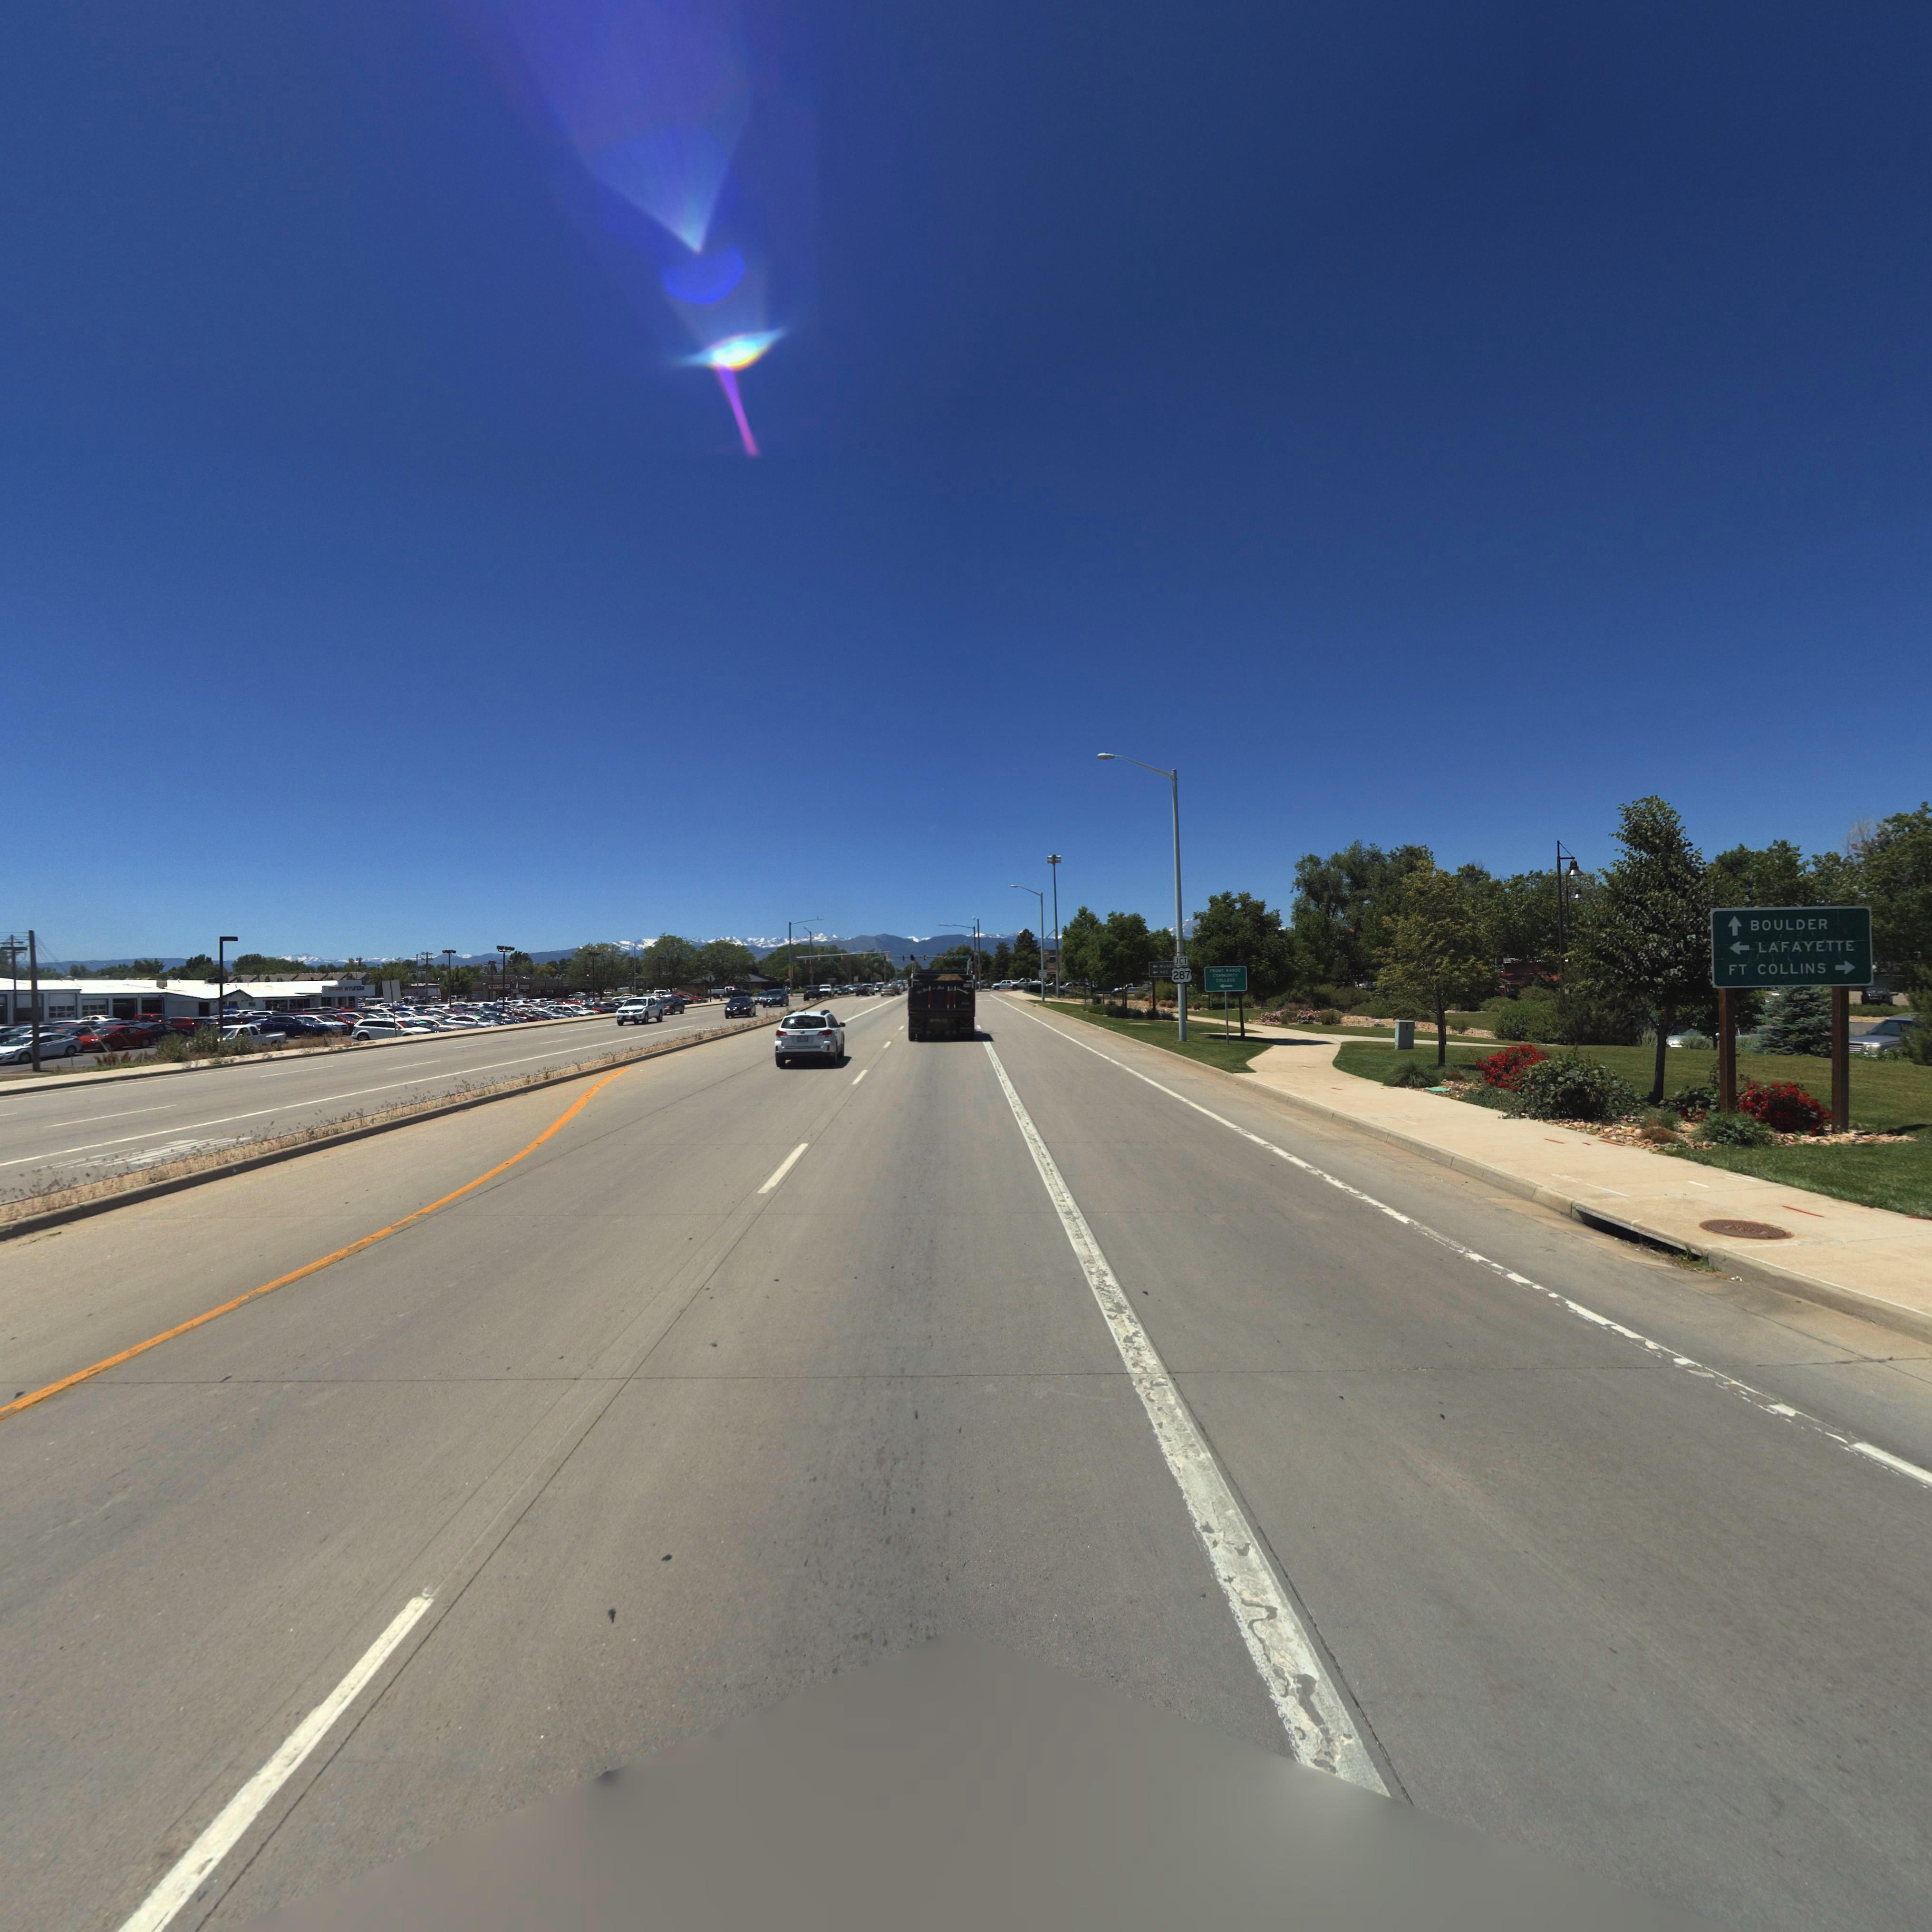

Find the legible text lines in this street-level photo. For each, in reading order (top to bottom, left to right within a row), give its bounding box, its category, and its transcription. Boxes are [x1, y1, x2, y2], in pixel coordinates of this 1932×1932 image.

[344, 985, 365, 991] BusinessName: HYUnDA*